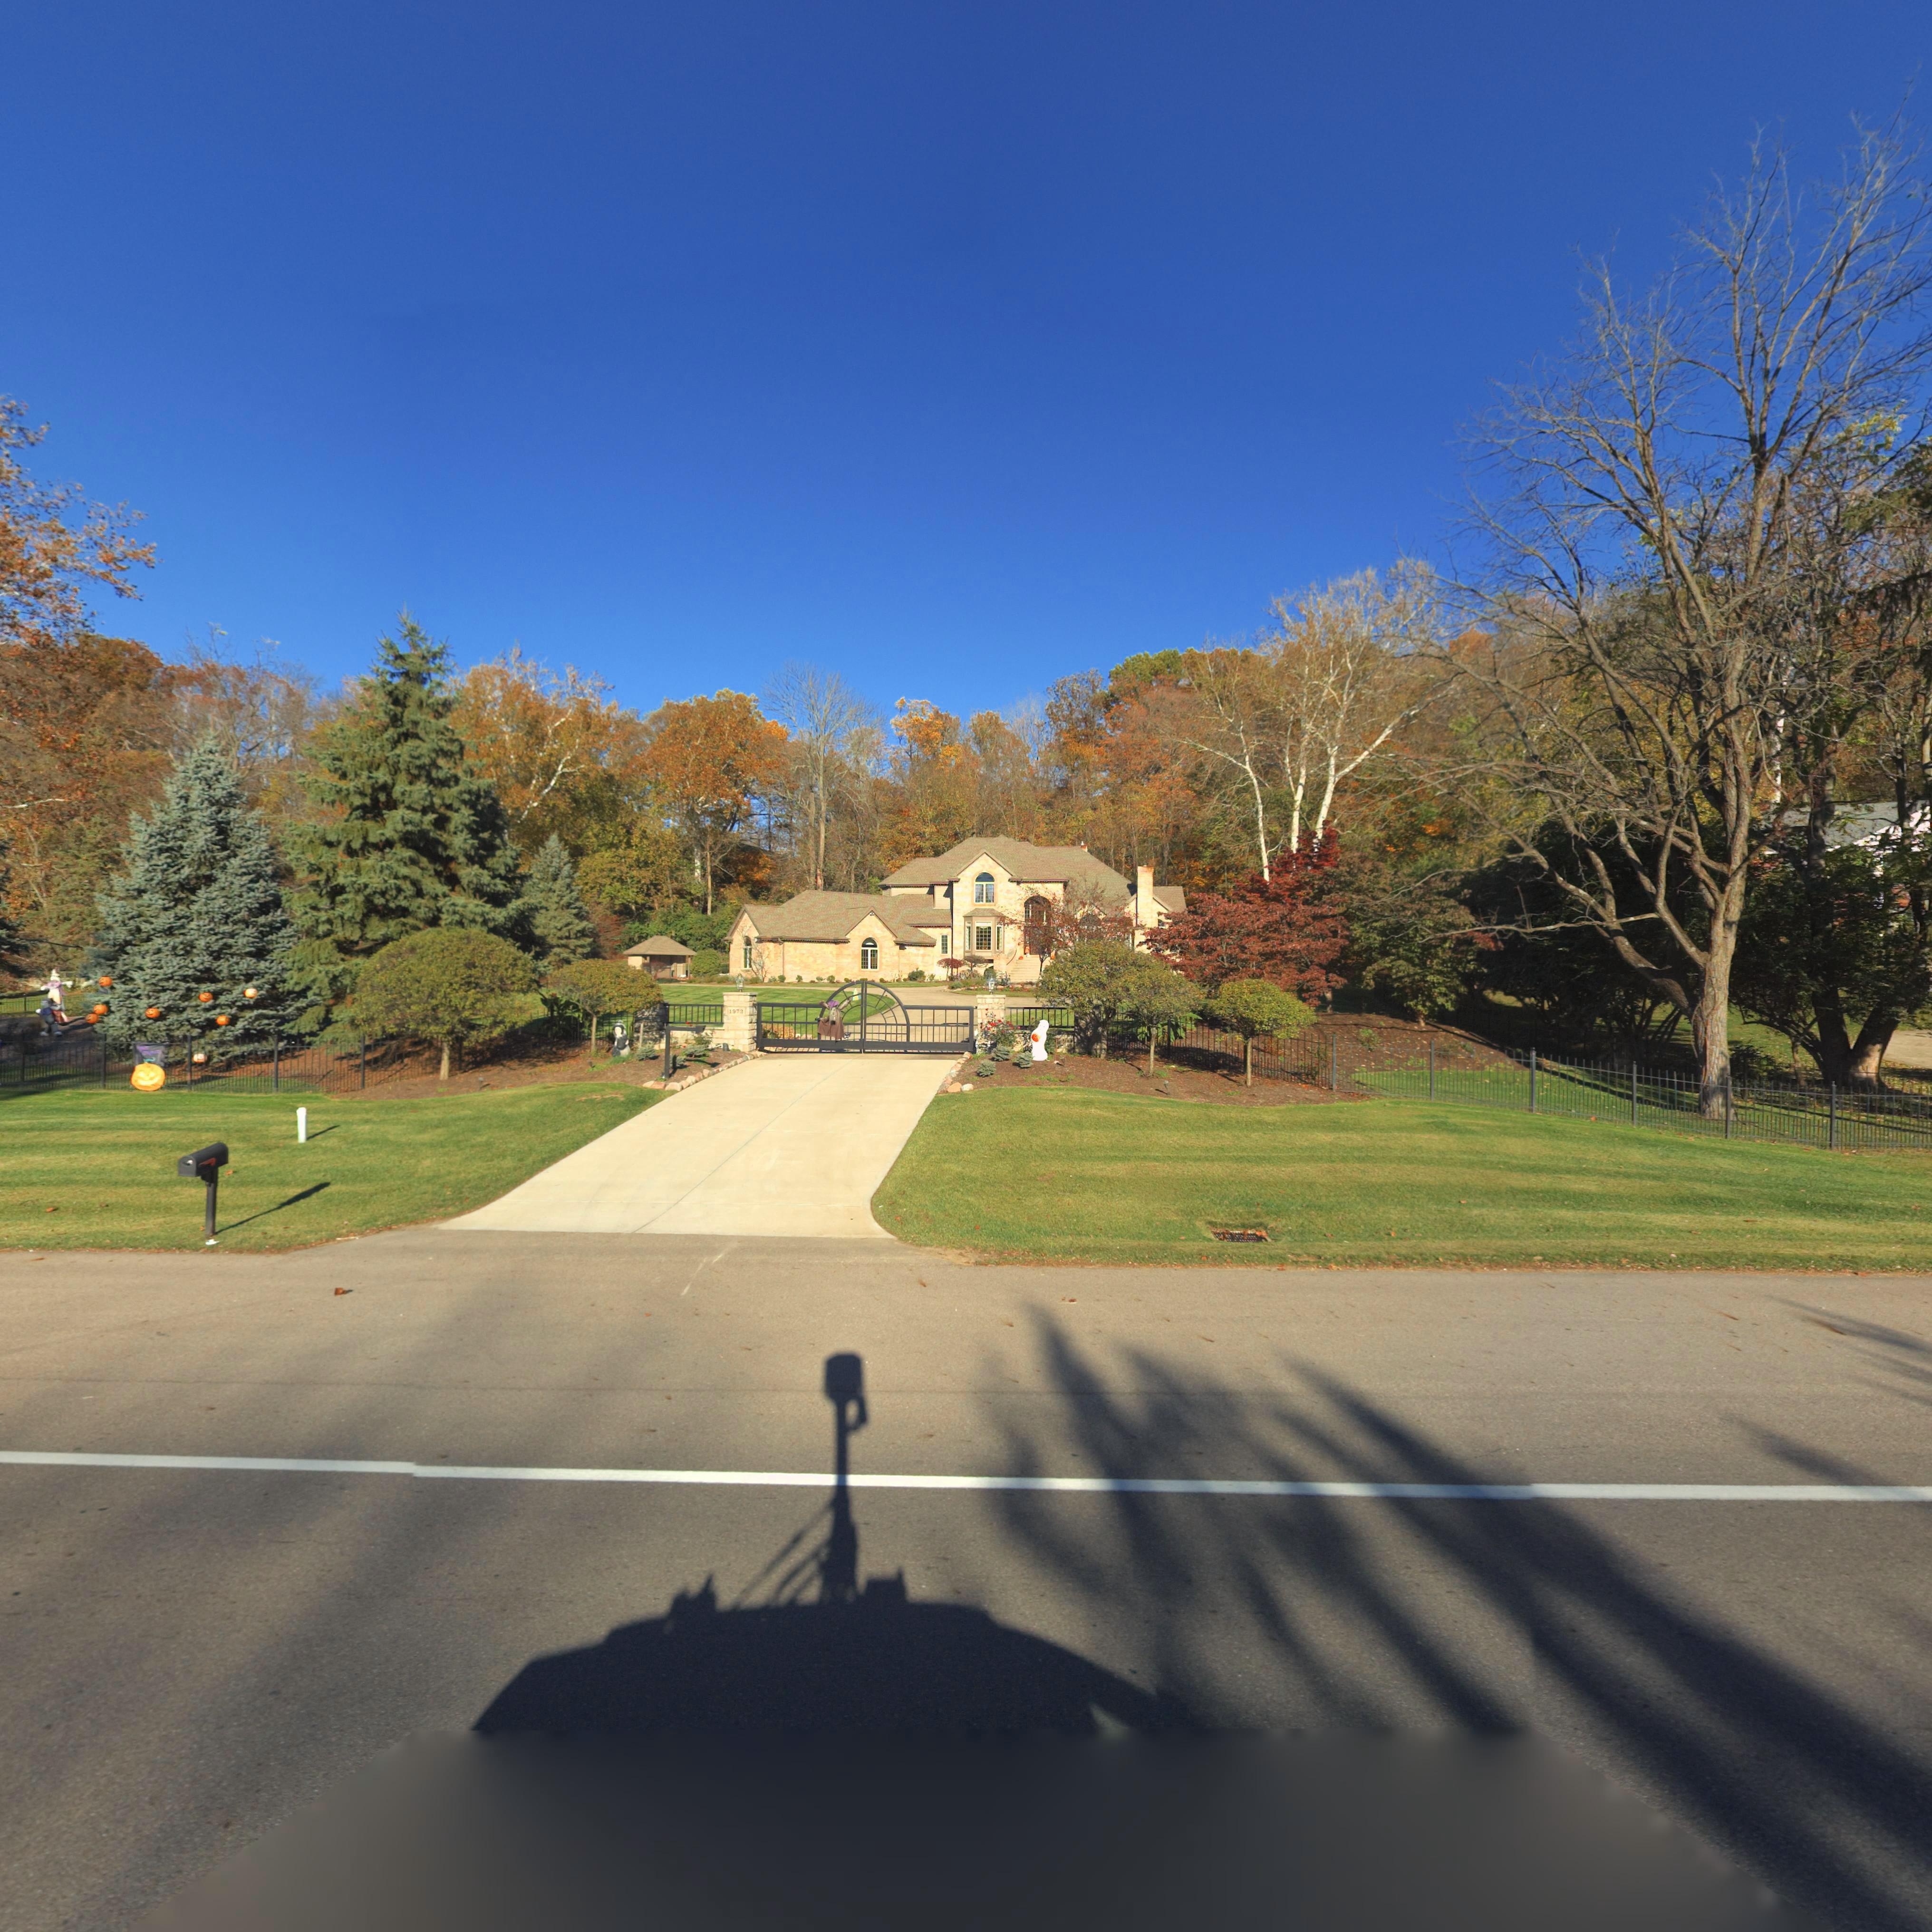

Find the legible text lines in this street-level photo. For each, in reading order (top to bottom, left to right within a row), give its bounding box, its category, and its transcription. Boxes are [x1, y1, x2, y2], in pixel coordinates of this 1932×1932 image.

[728, 1008, 744, 1014] StreetNumber: 1973